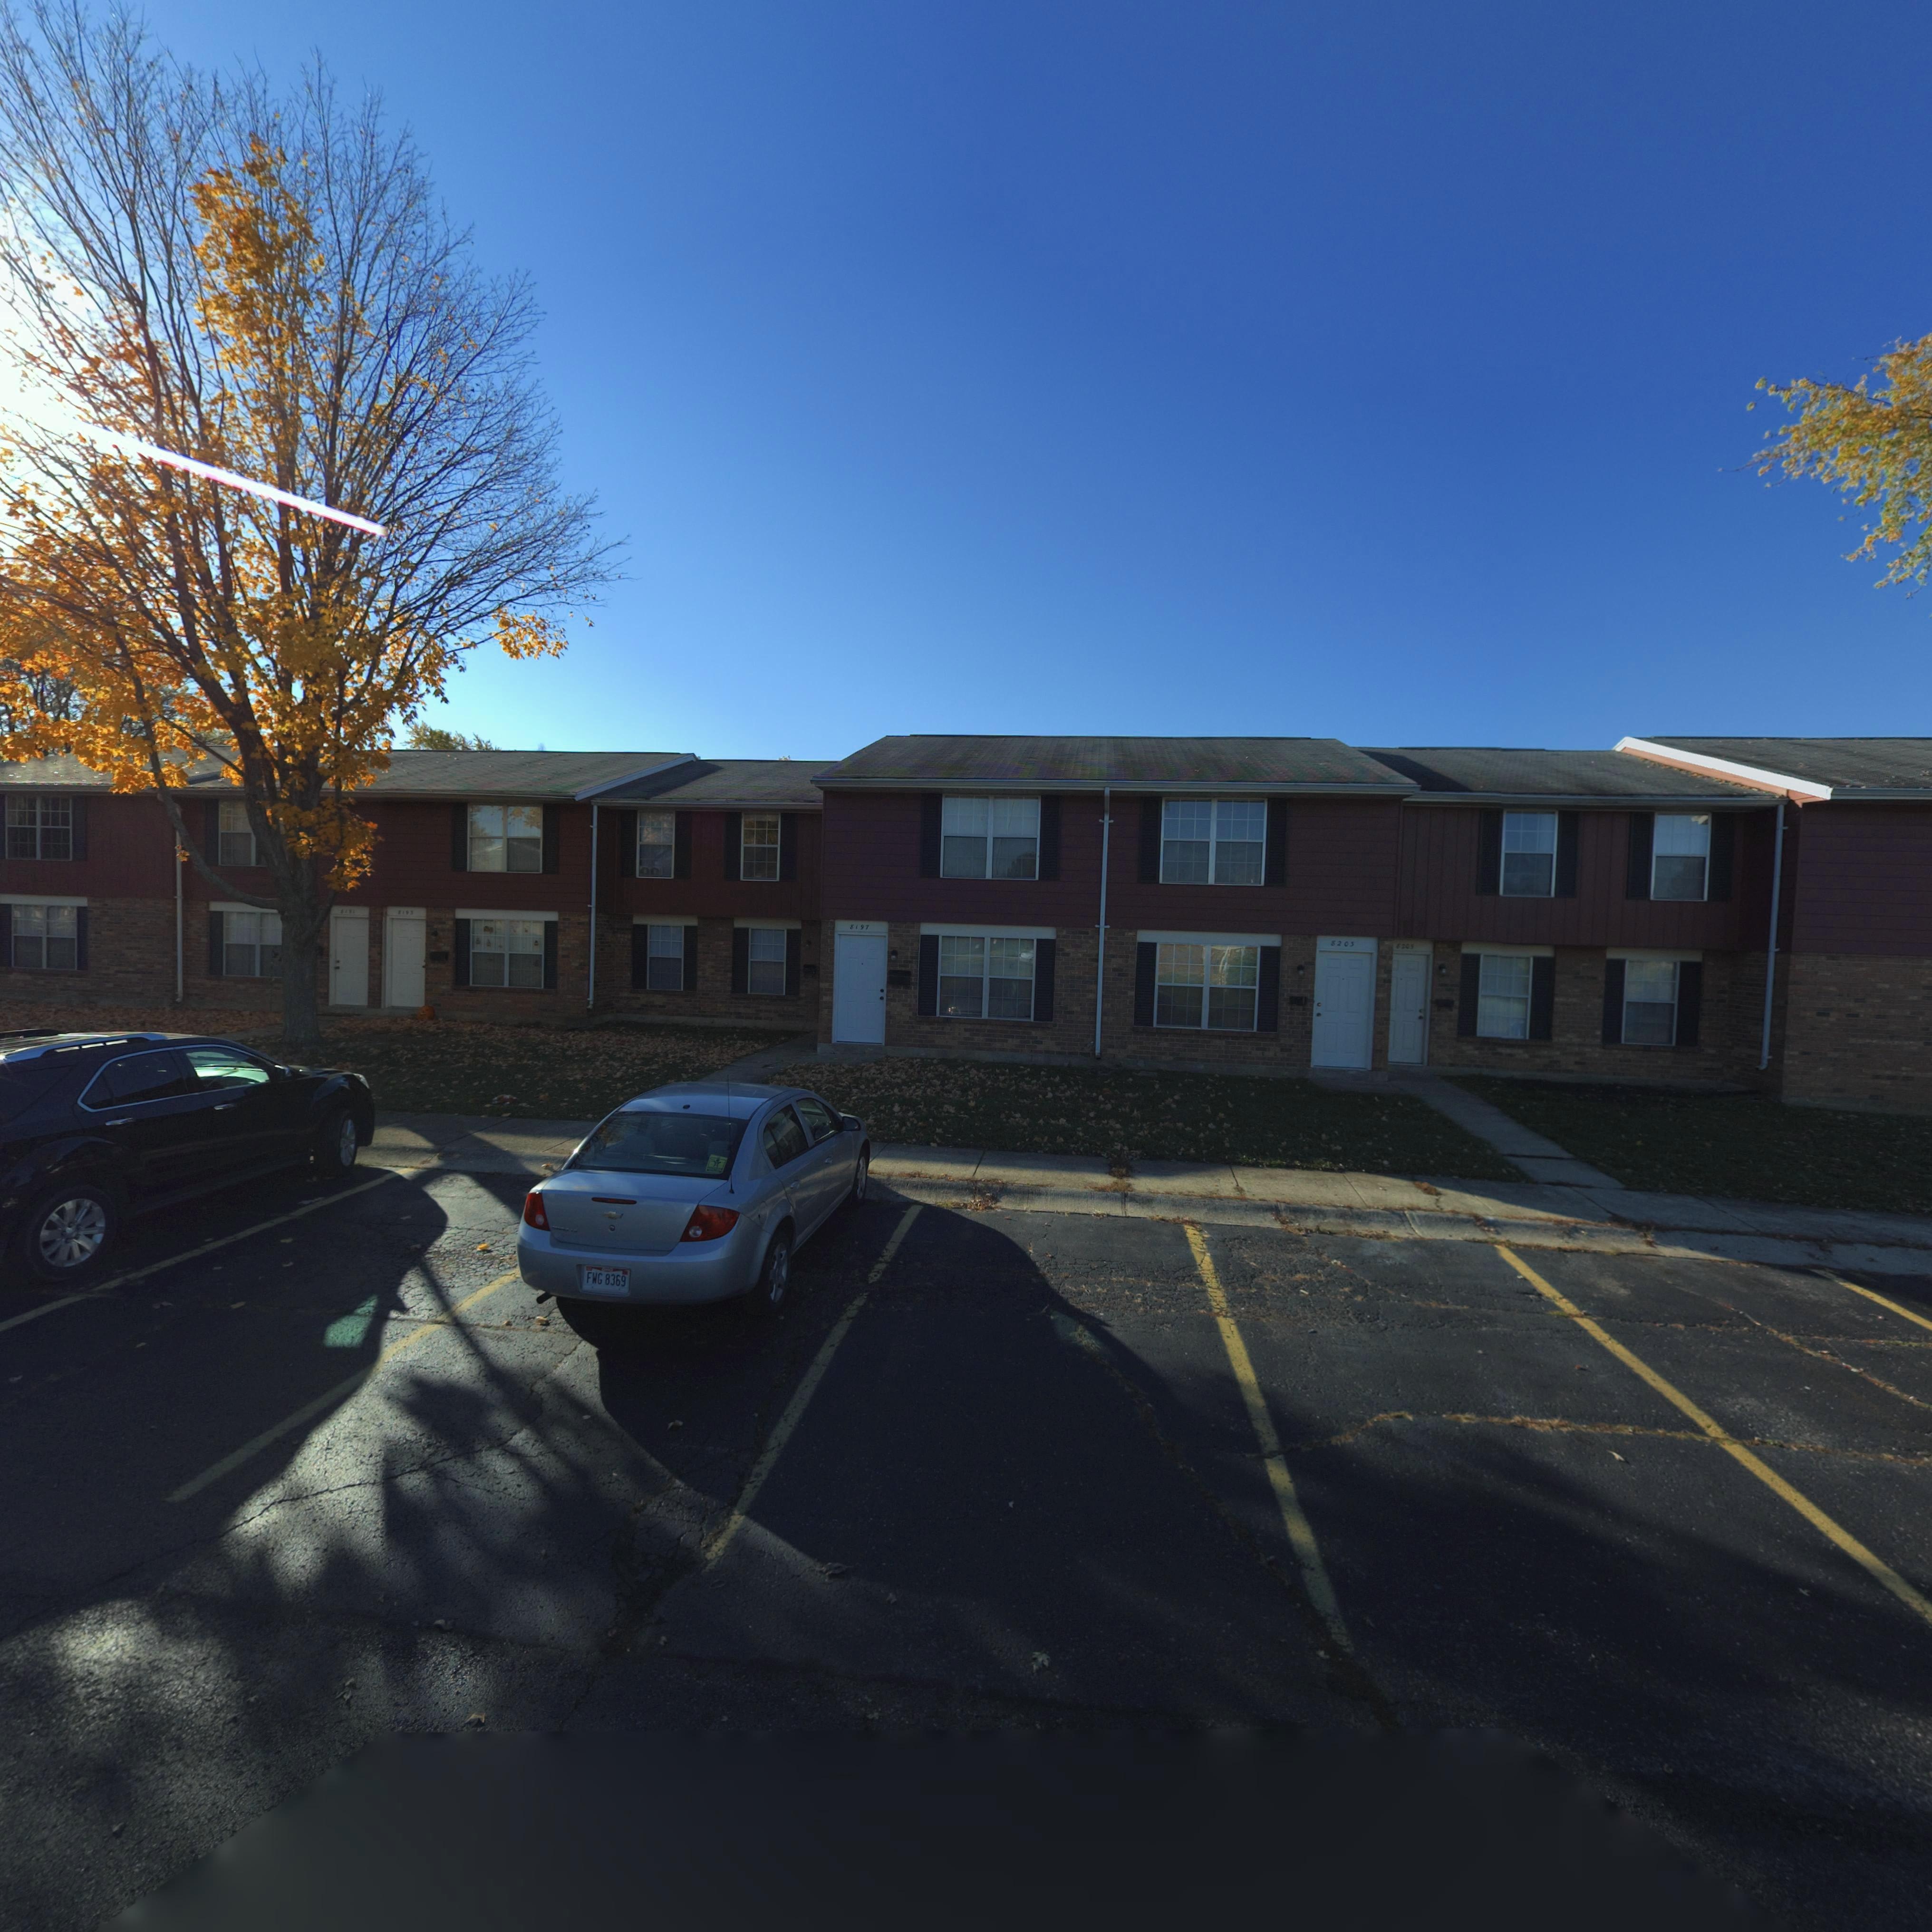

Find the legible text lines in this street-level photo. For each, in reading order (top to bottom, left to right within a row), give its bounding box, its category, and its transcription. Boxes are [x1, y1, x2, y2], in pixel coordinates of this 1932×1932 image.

[339, 908, 356, 915] StreetNumber: 8191
[397, 909, 414, 916] StreetNumber: 8193
[850, 924, 870, 930] StreetNumber: 8197
[1330, 940, 1355, 947] StreetNumber: 8203
[1395, 942, 1415, 950] StreetNumber: 8205